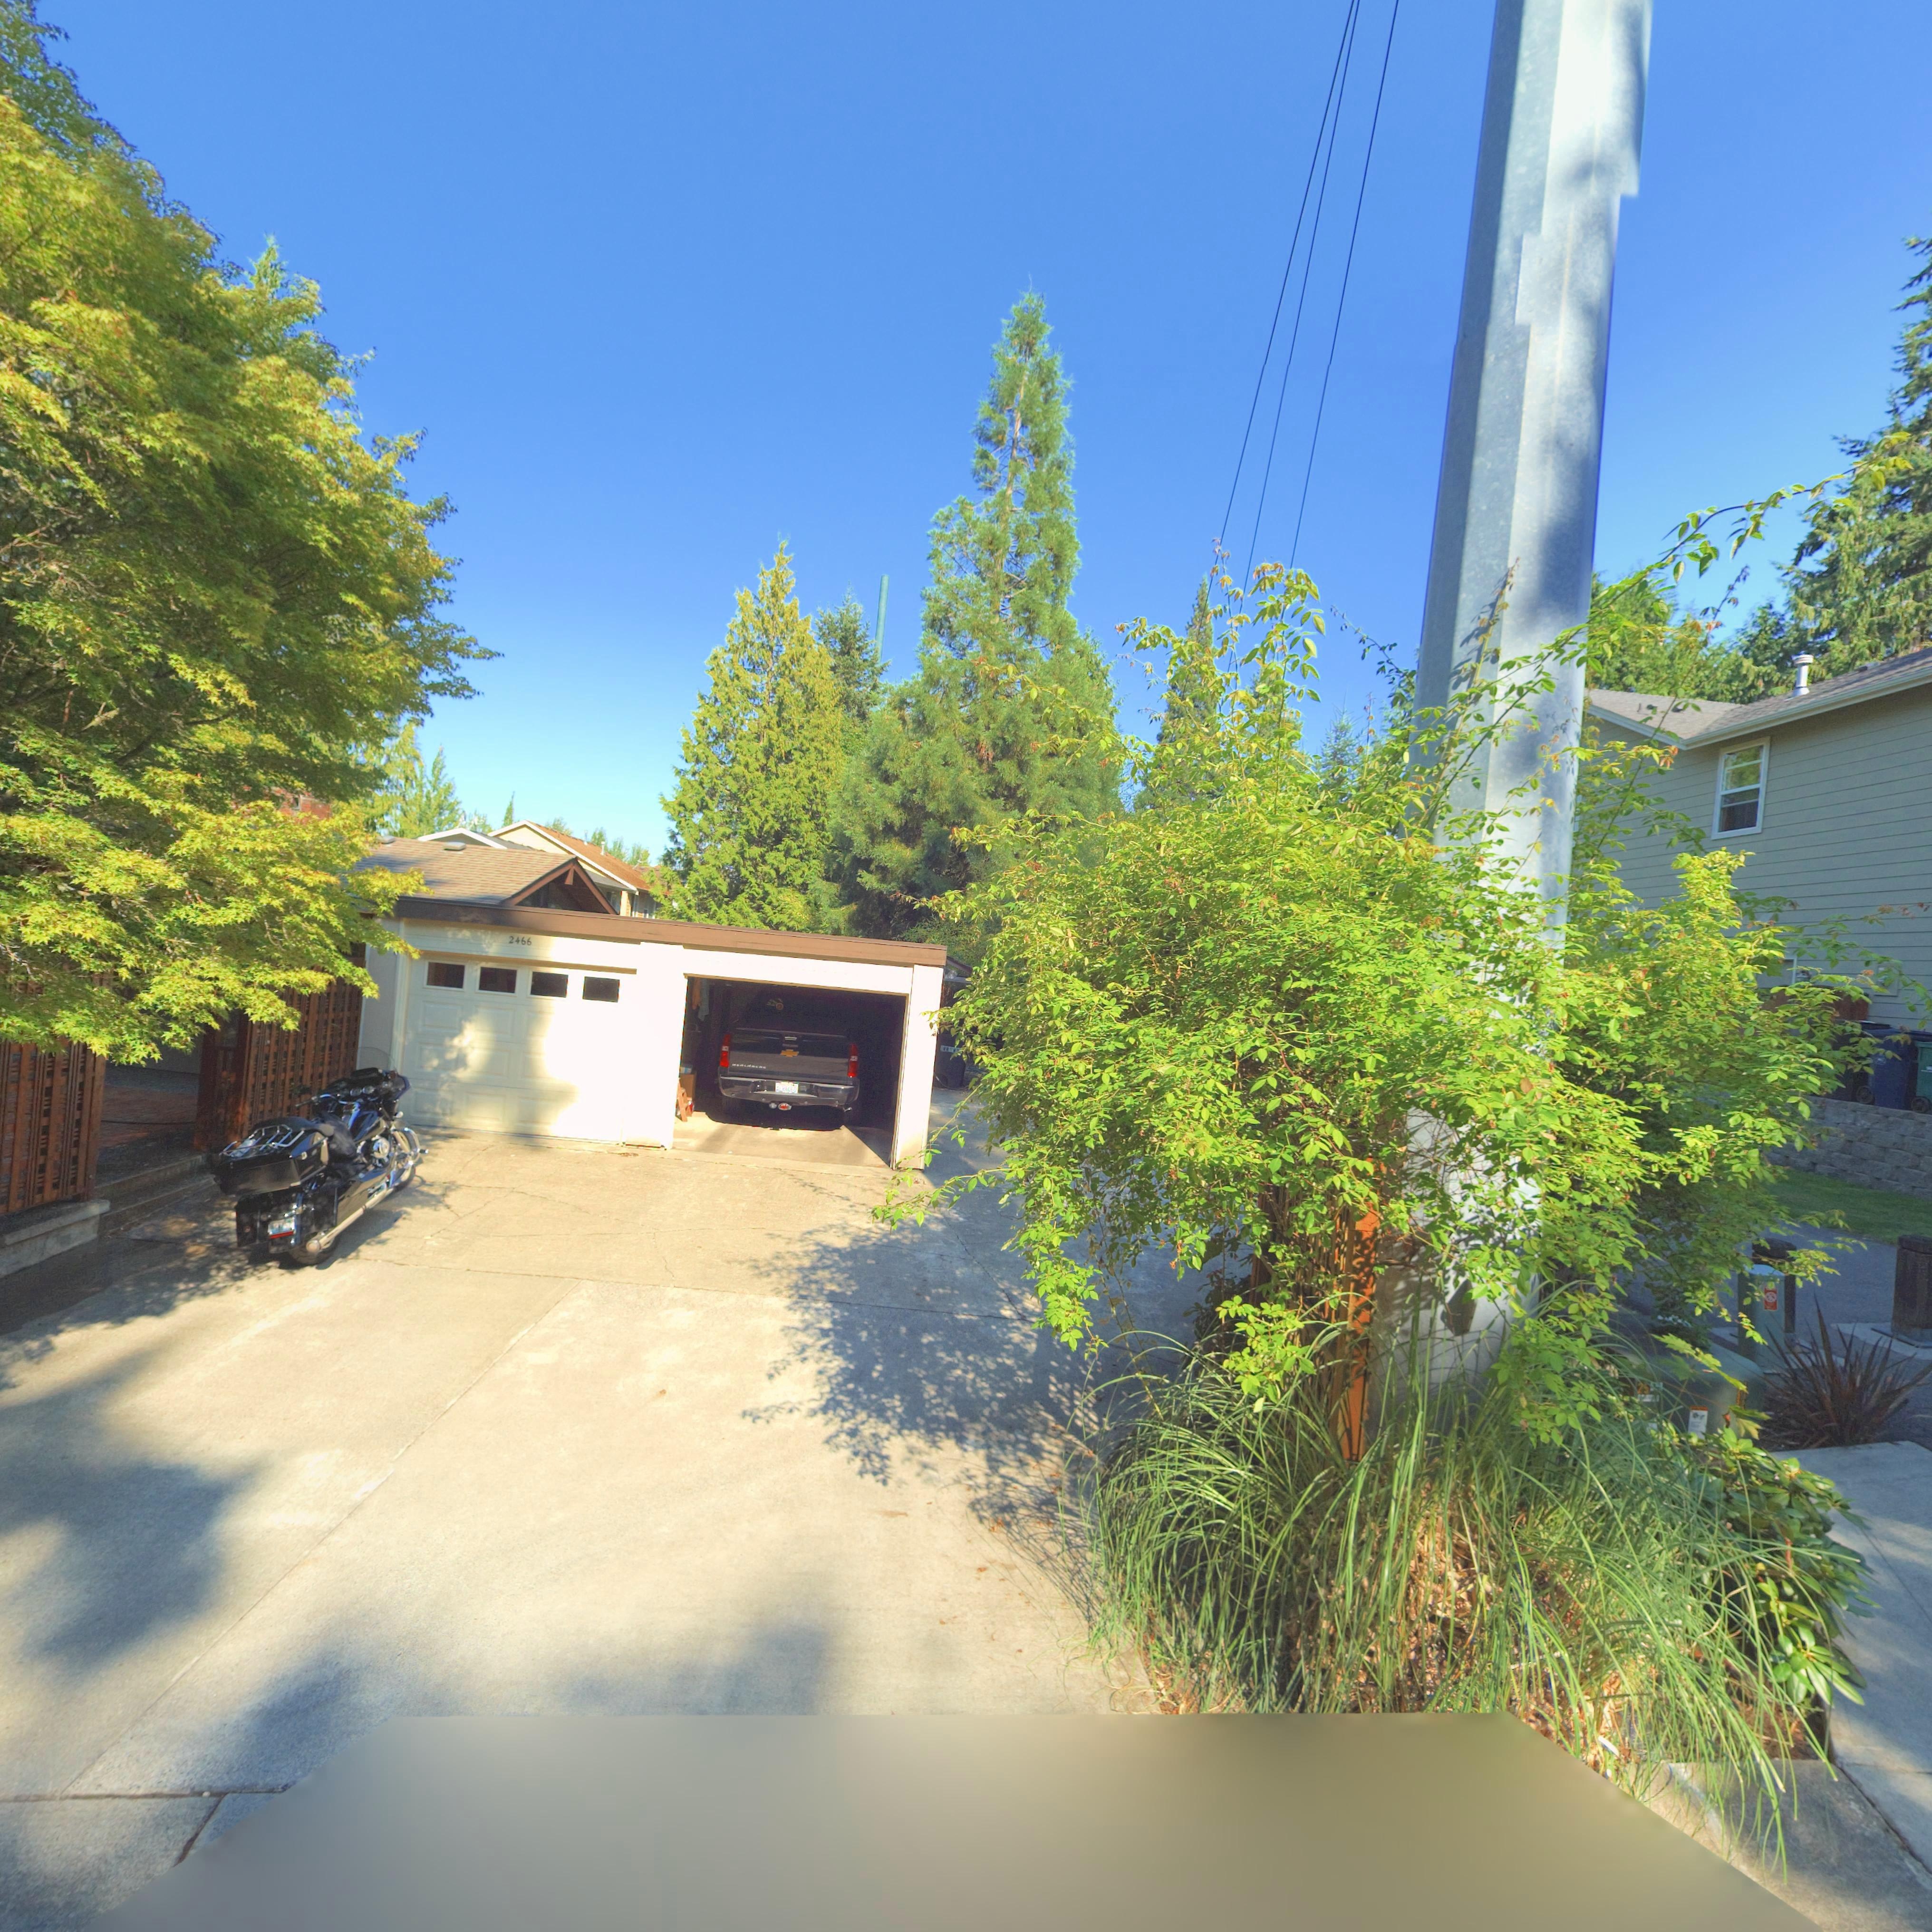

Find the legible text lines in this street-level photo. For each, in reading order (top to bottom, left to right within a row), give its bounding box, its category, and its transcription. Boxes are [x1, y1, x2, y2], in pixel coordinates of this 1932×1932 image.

[509, 935, 532, 946] StreetNumber: 2466